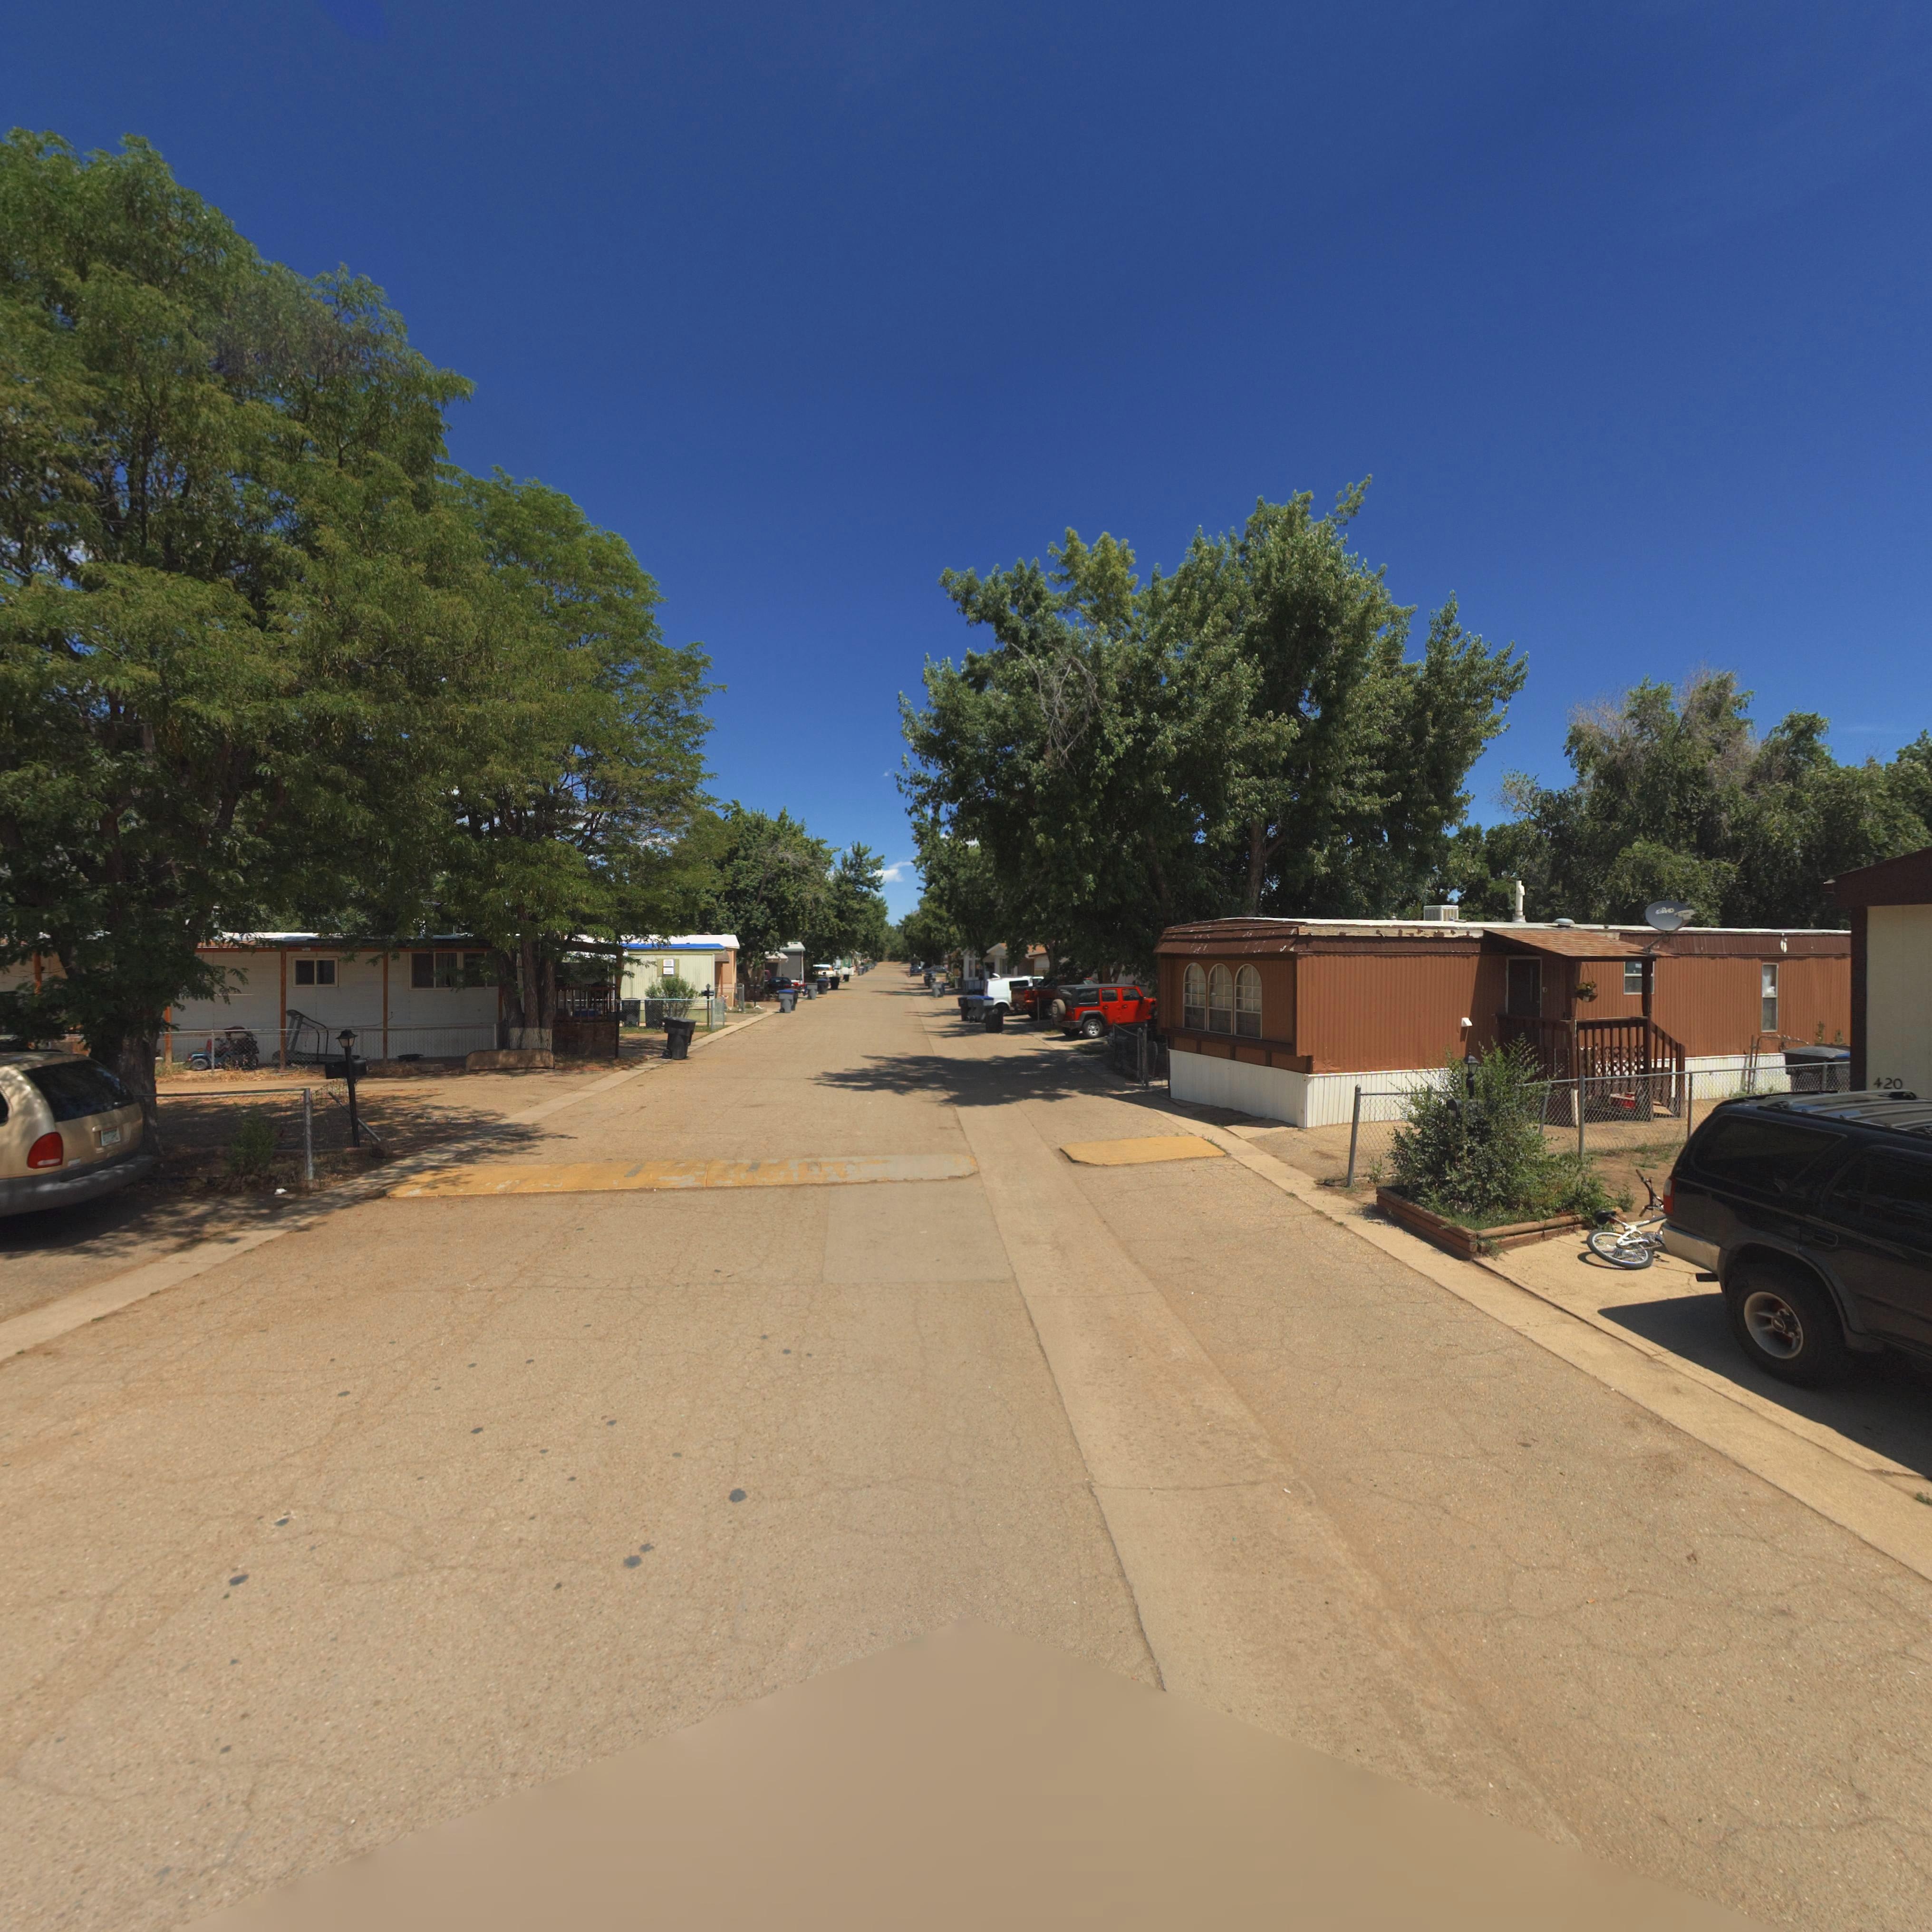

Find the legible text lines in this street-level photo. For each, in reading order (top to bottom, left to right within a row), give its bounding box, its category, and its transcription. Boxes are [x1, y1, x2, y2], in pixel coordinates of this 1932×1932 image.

[1873, 1077, 1903, 1089] StreetNumber: 420